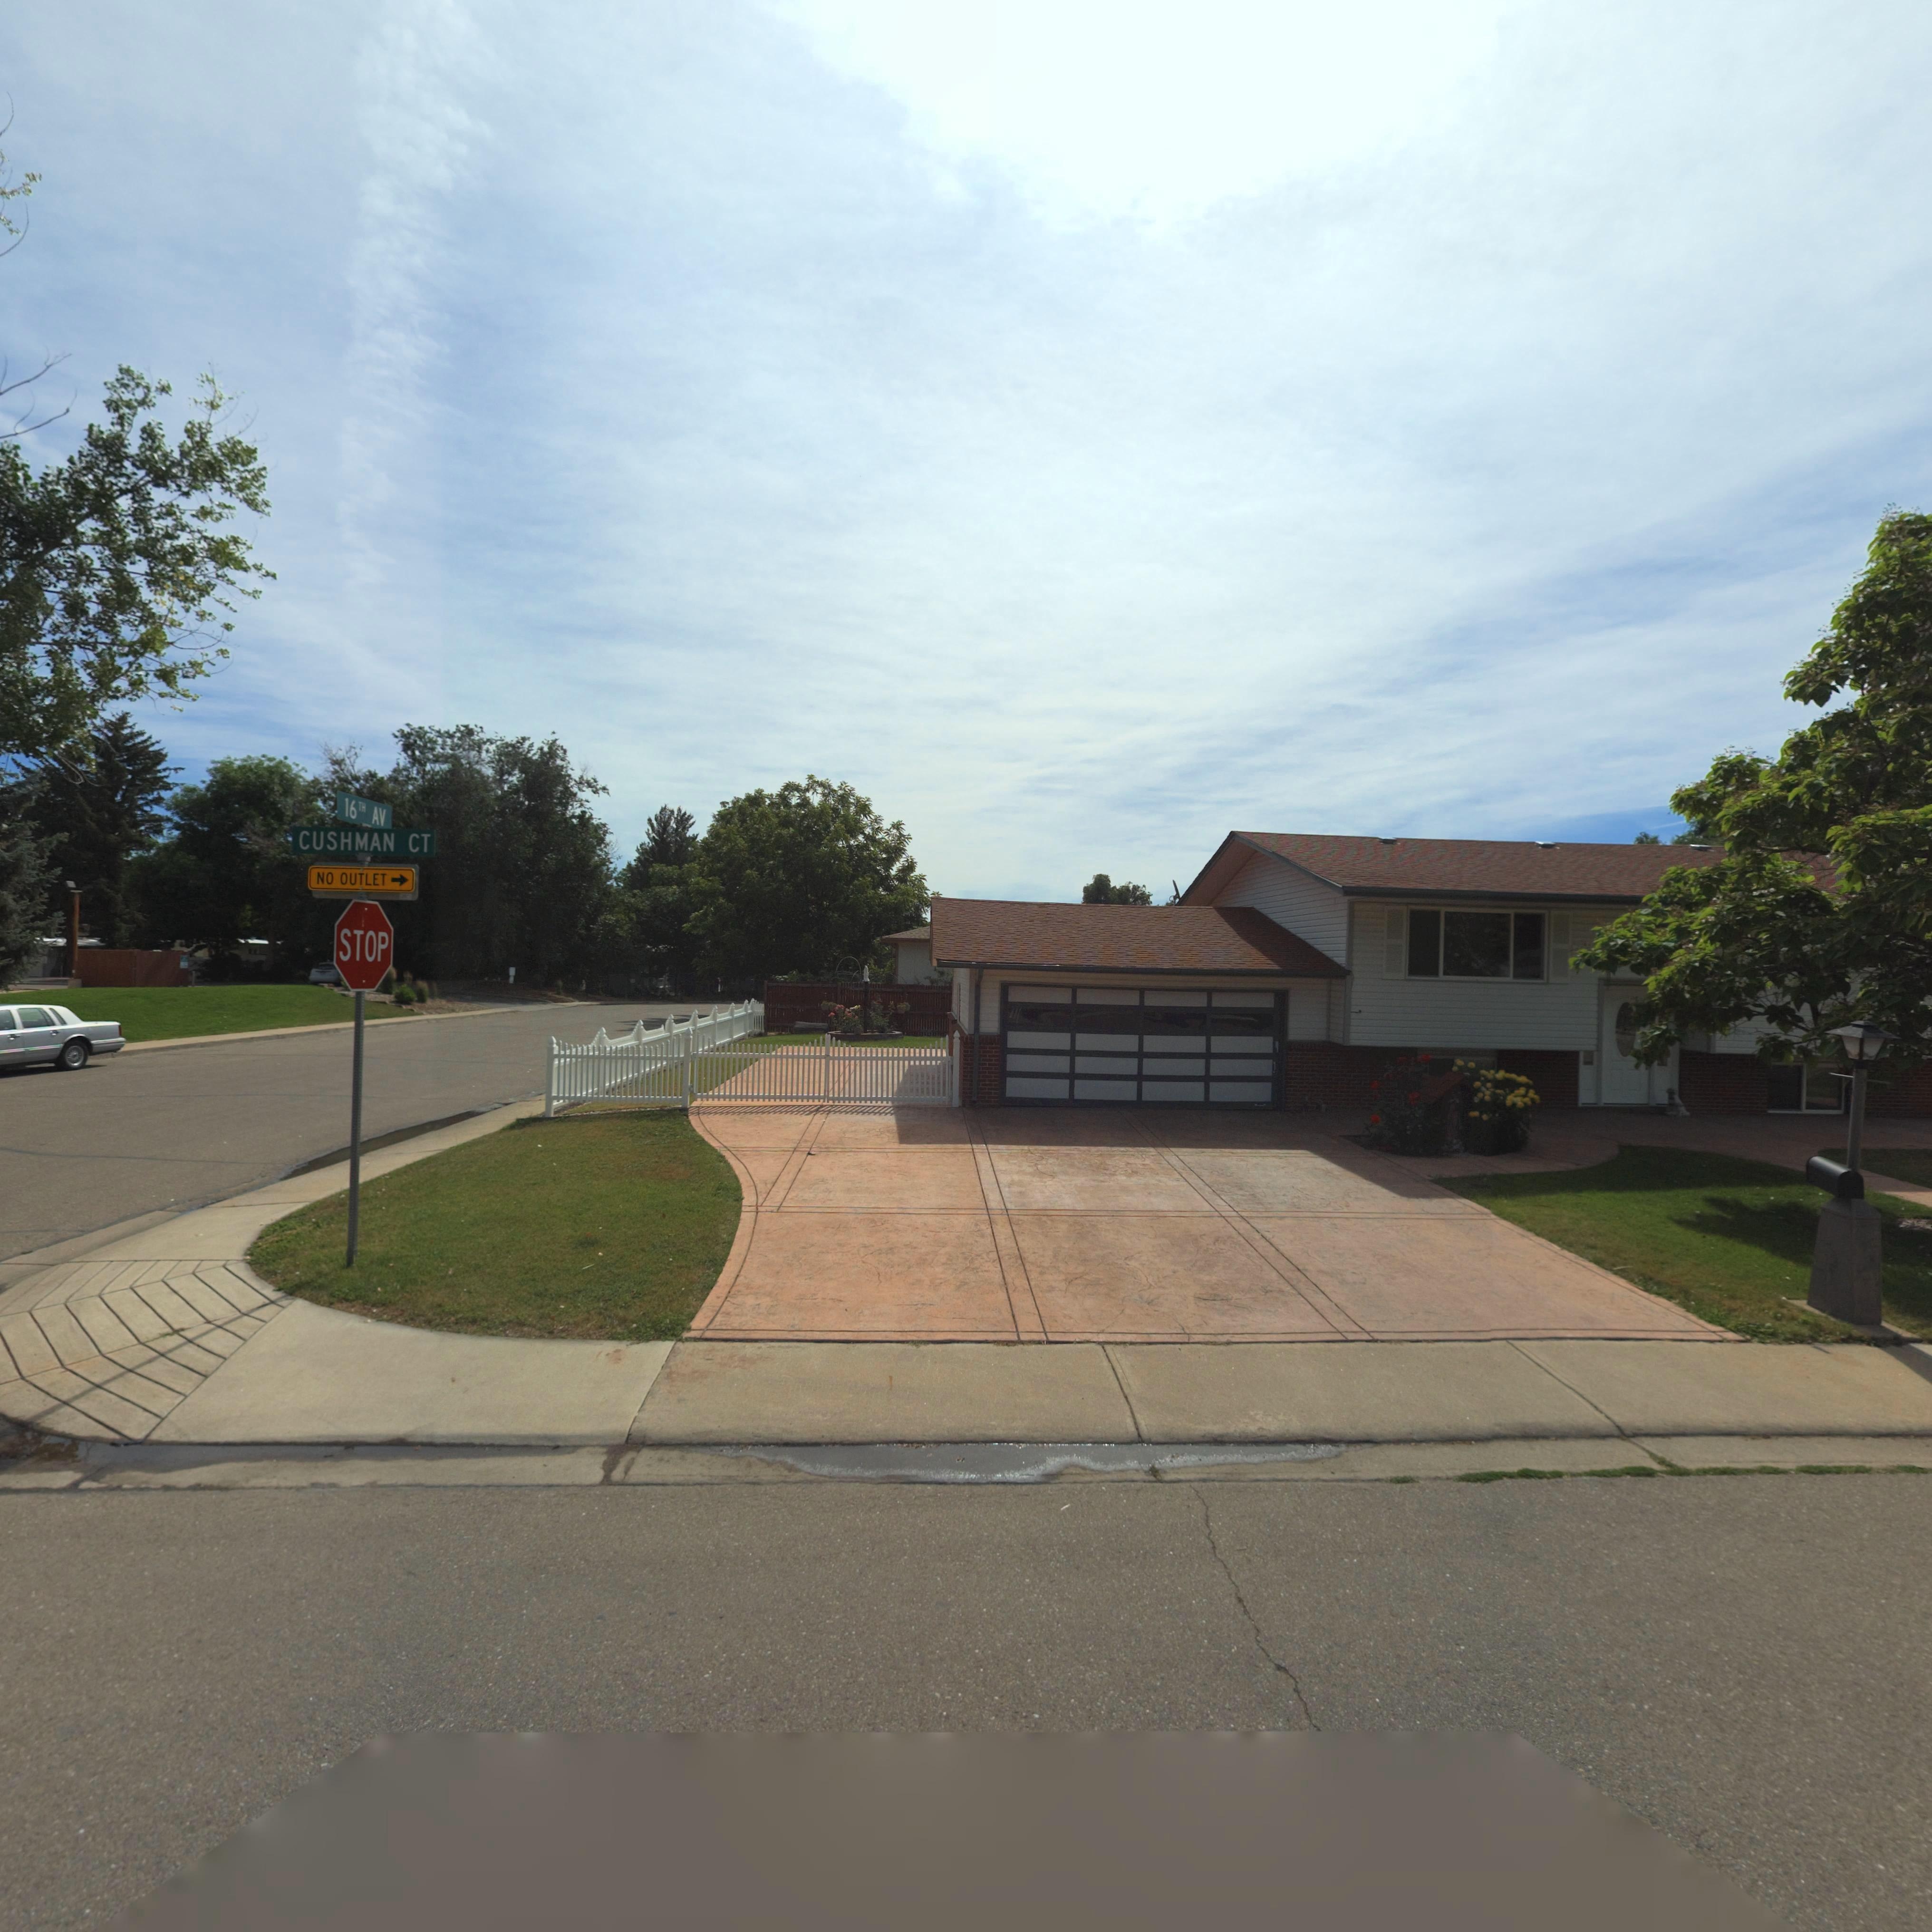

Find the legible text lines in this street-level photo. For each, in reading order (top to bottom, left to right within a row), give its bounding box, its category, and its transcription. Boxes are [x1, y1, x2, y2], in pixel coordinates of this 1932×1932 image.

[344, 797, 386, 826] StreetName: 16TH AV
[299, 830, 431, 852] StreetName: CUSHMAN CT